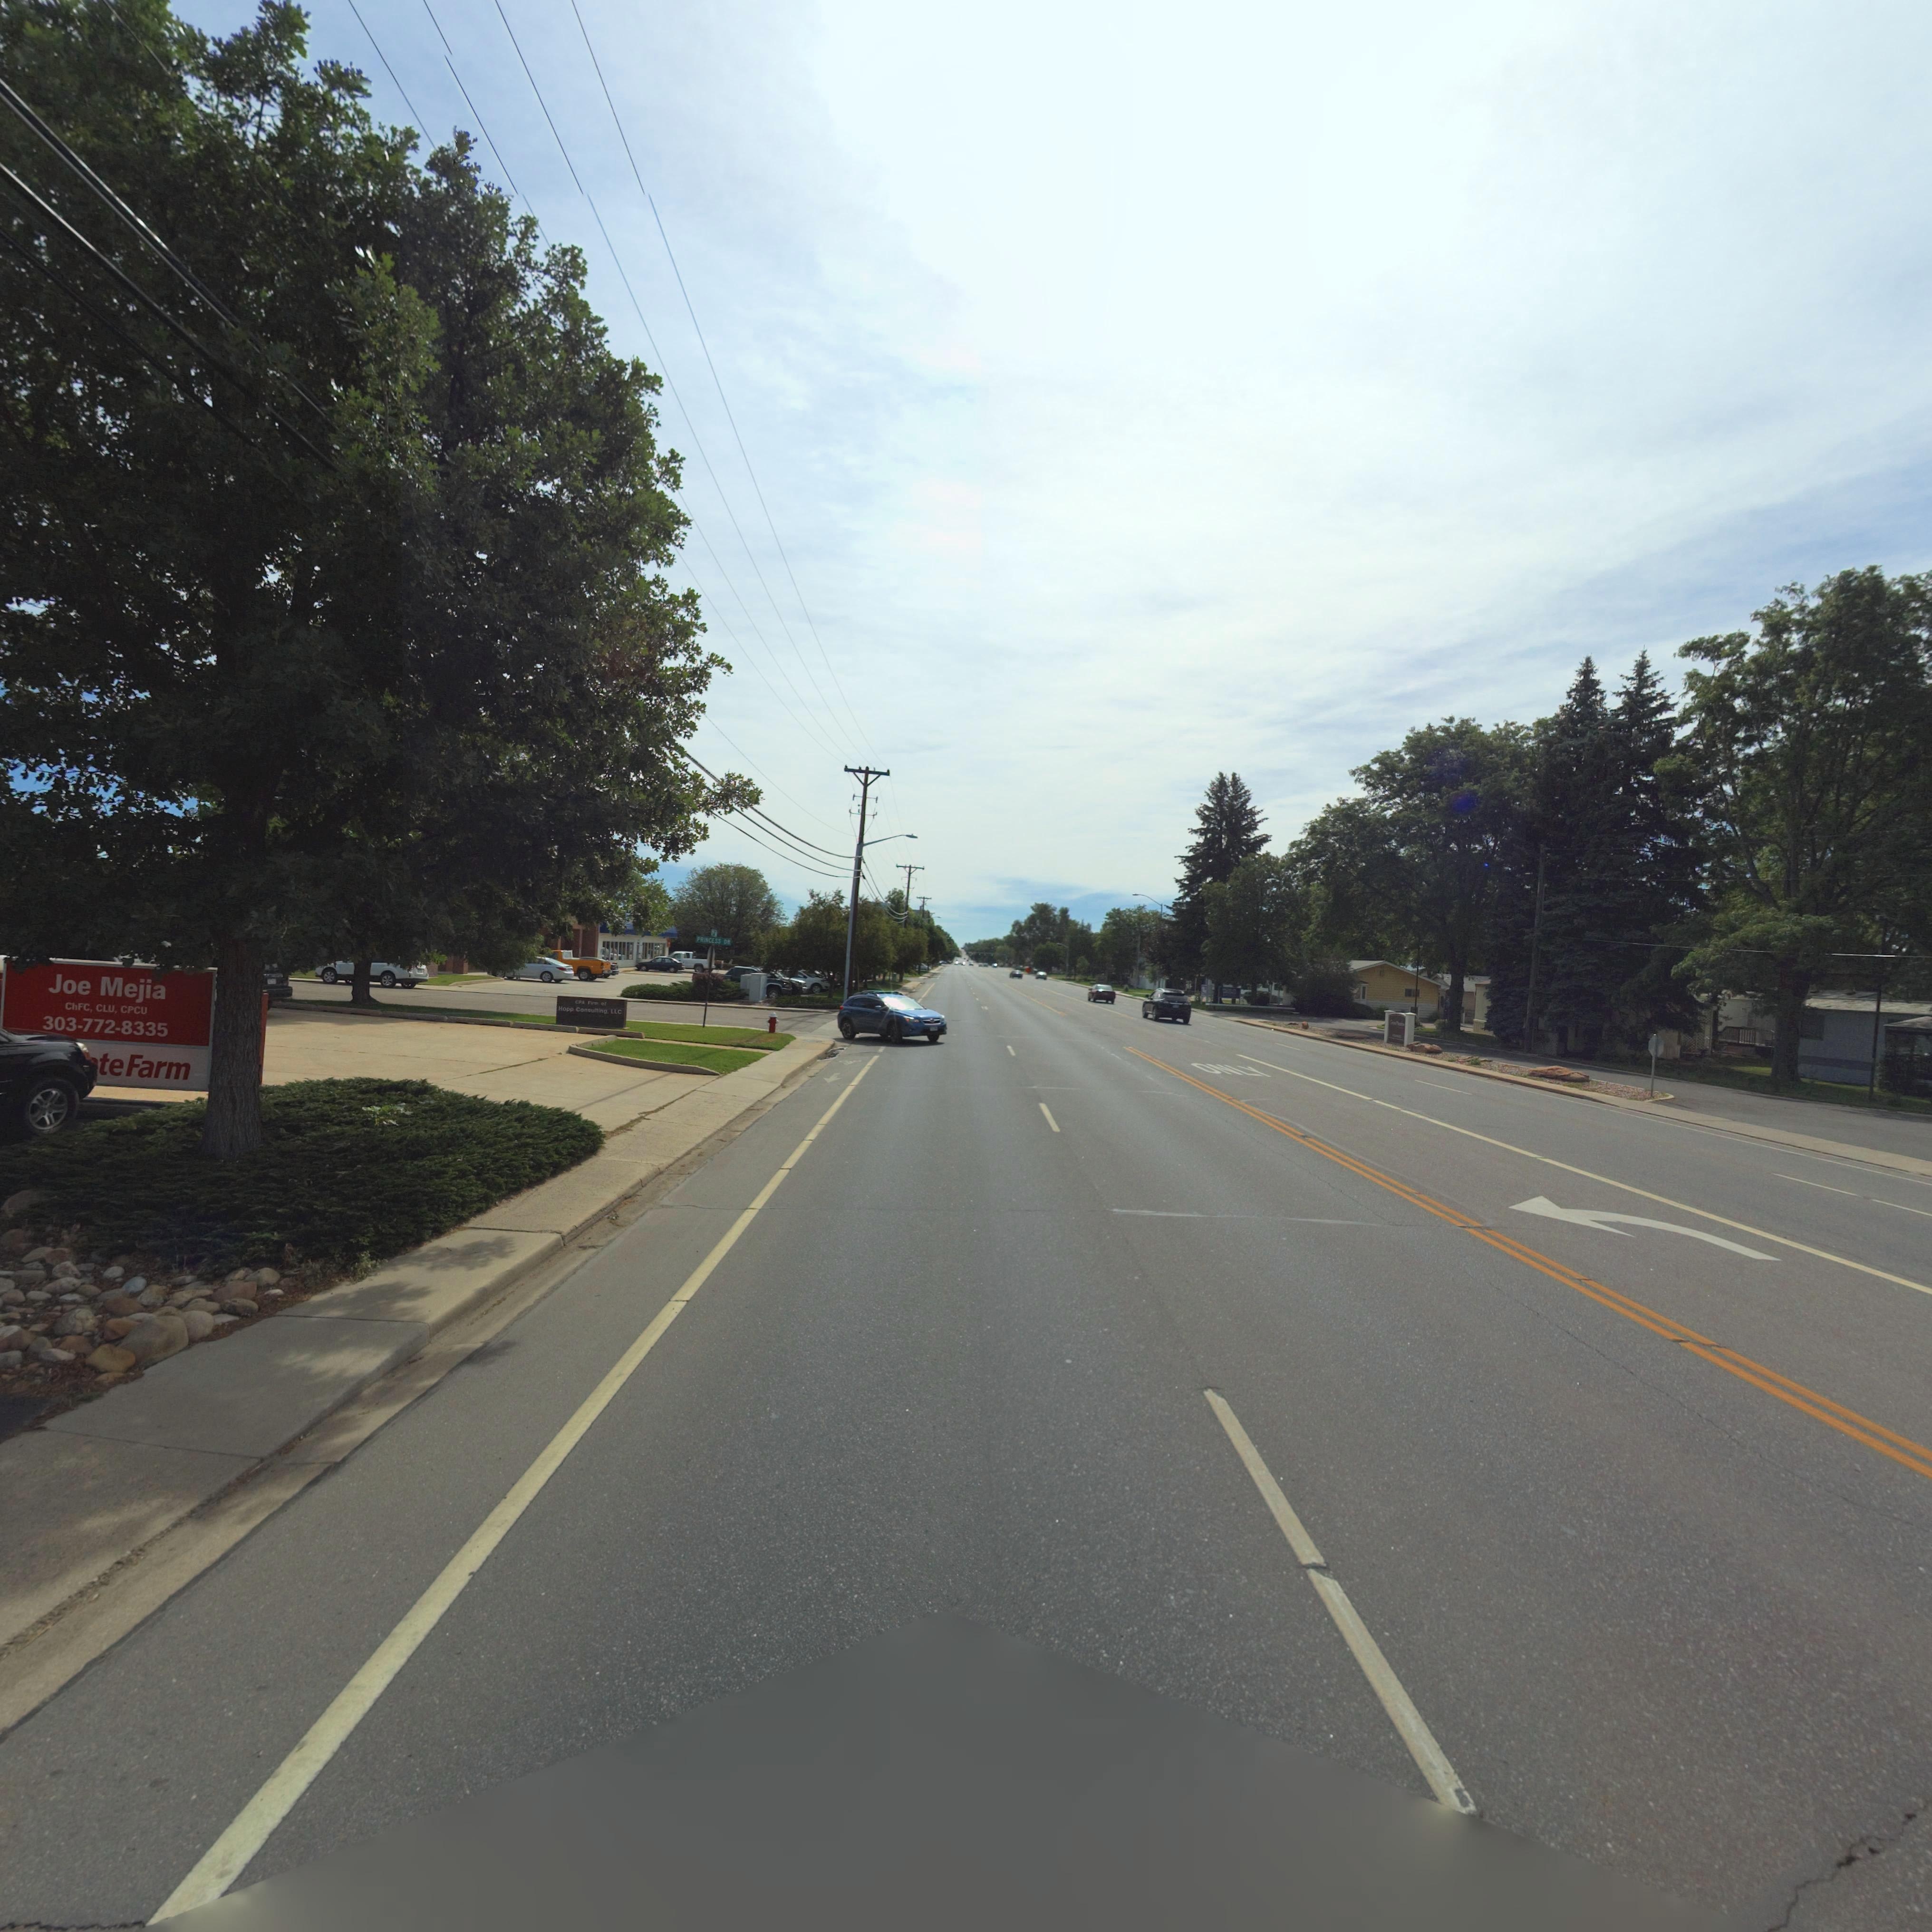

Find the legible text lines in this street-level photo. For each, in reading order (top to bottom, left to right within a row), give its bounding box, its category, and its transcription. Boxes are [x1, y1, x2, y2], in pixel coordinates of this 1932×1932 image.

[696, 936, 731, 945] StreetName: PRINCESS DR
[574, 1000, 607, 1006] BusinessName: CPA Firm of
[558, 1005, 622, 1014] BusinessName: Hopp Consulting, LLC
[97, 1052, 192, 1081] BusinessName: te Farm